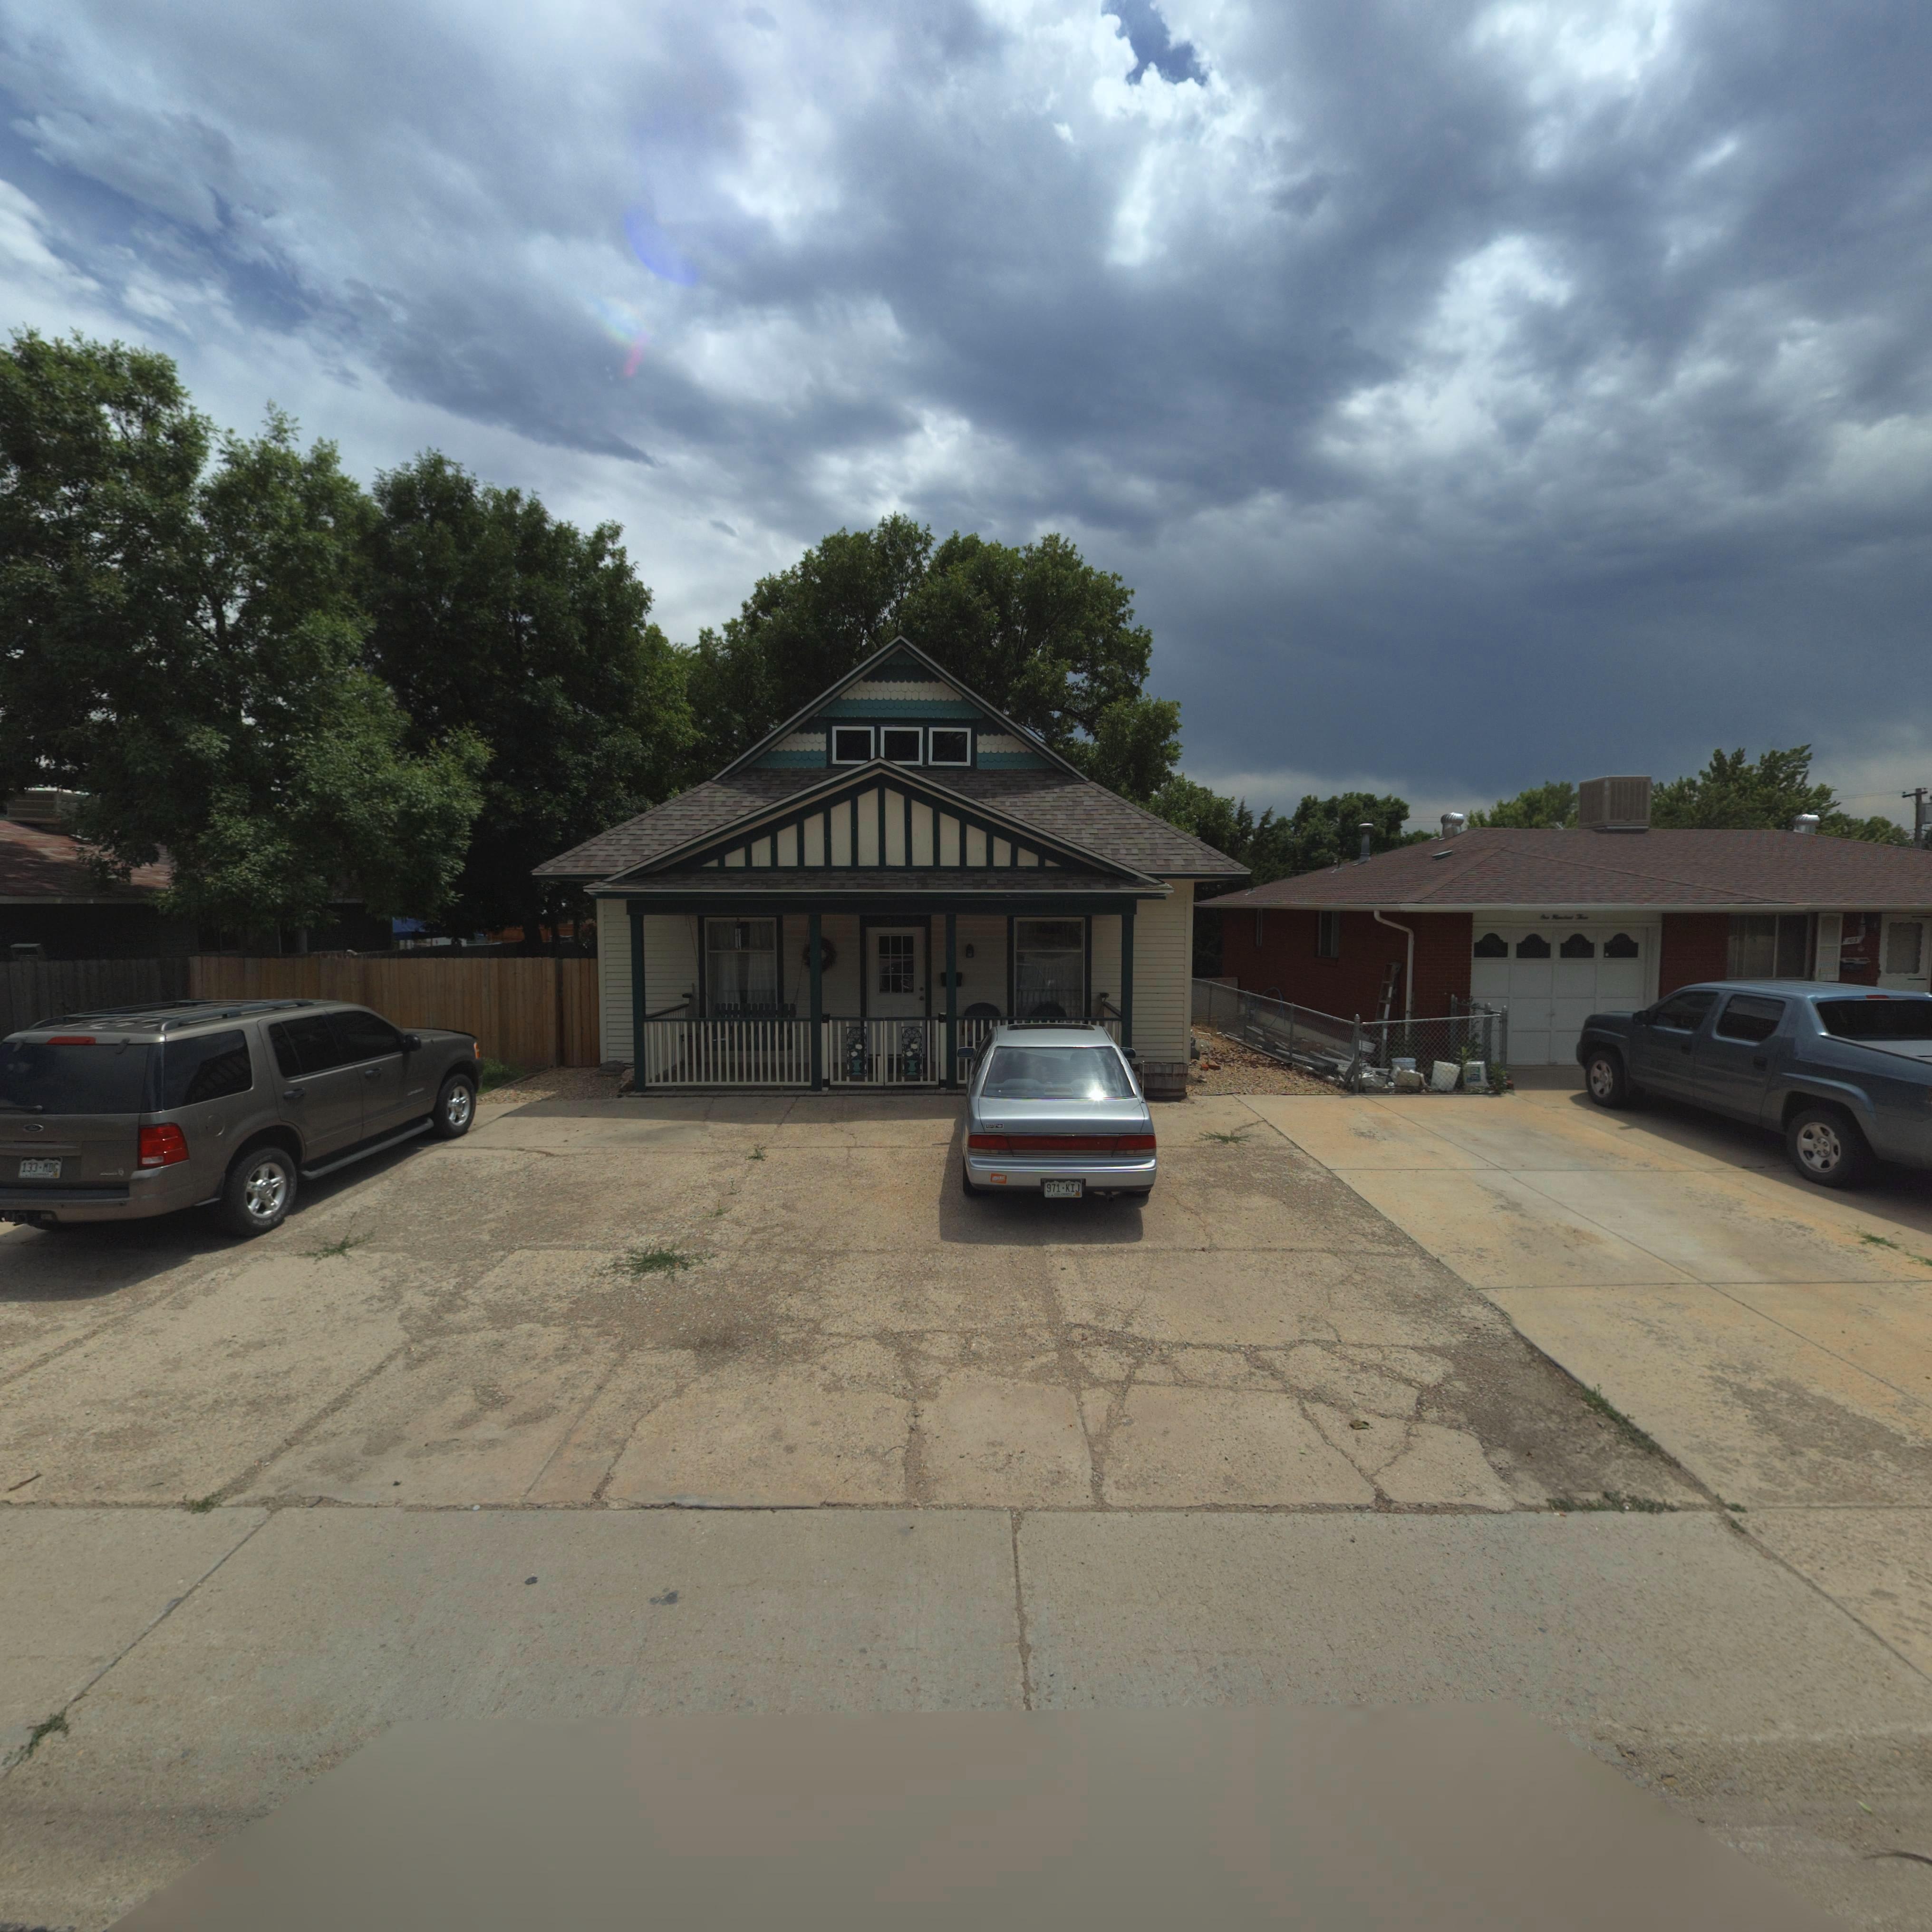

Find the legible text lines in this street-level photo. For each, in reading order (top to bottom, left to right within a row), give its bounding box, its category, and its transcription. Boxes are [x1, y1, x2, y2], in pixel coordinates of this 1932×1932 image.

[1539, 913, 1589, 920] StreetNumber: One Hundred T****
[1846, 937, 1858, 943] StreetNumber: 103